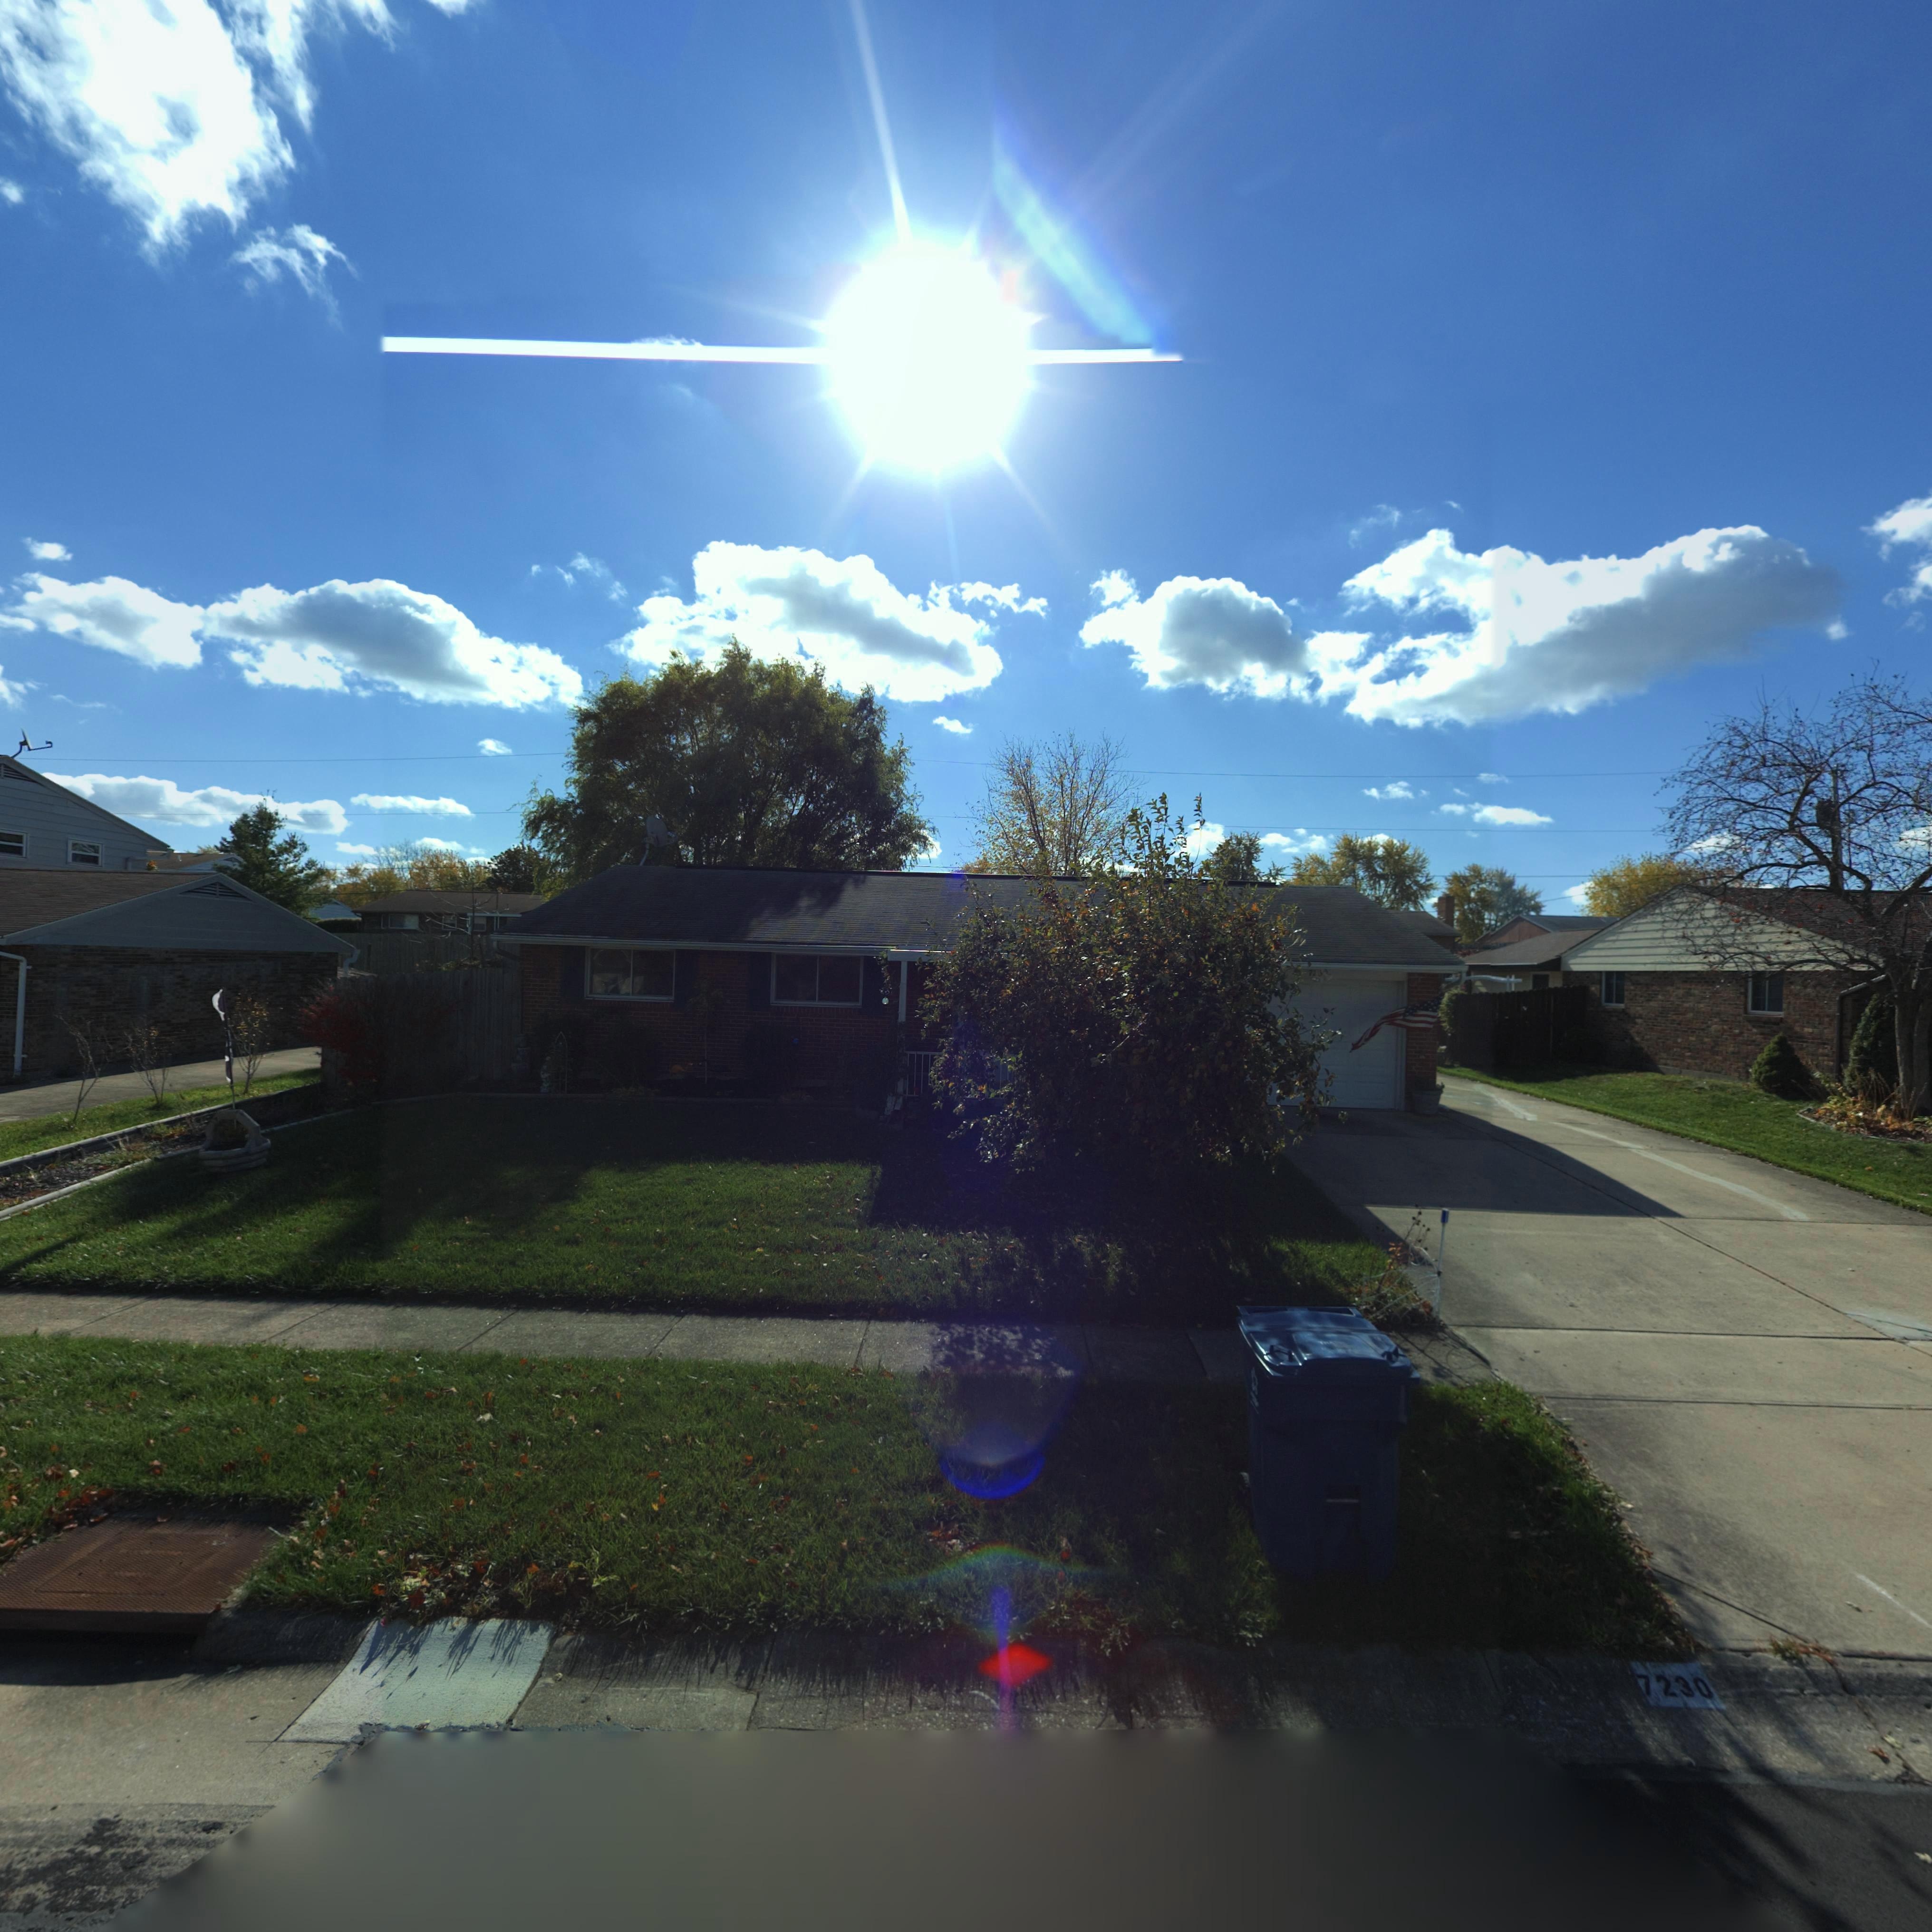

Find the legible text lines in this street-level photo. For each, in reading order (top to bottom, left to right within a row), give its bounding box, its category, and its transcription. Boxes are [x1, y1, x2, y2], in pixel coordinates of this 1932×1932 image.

[1307, 968, 1324, 977] StreetNumber: 7***
[1632, 1672, 1717, 1701] StreetNumber: 7230